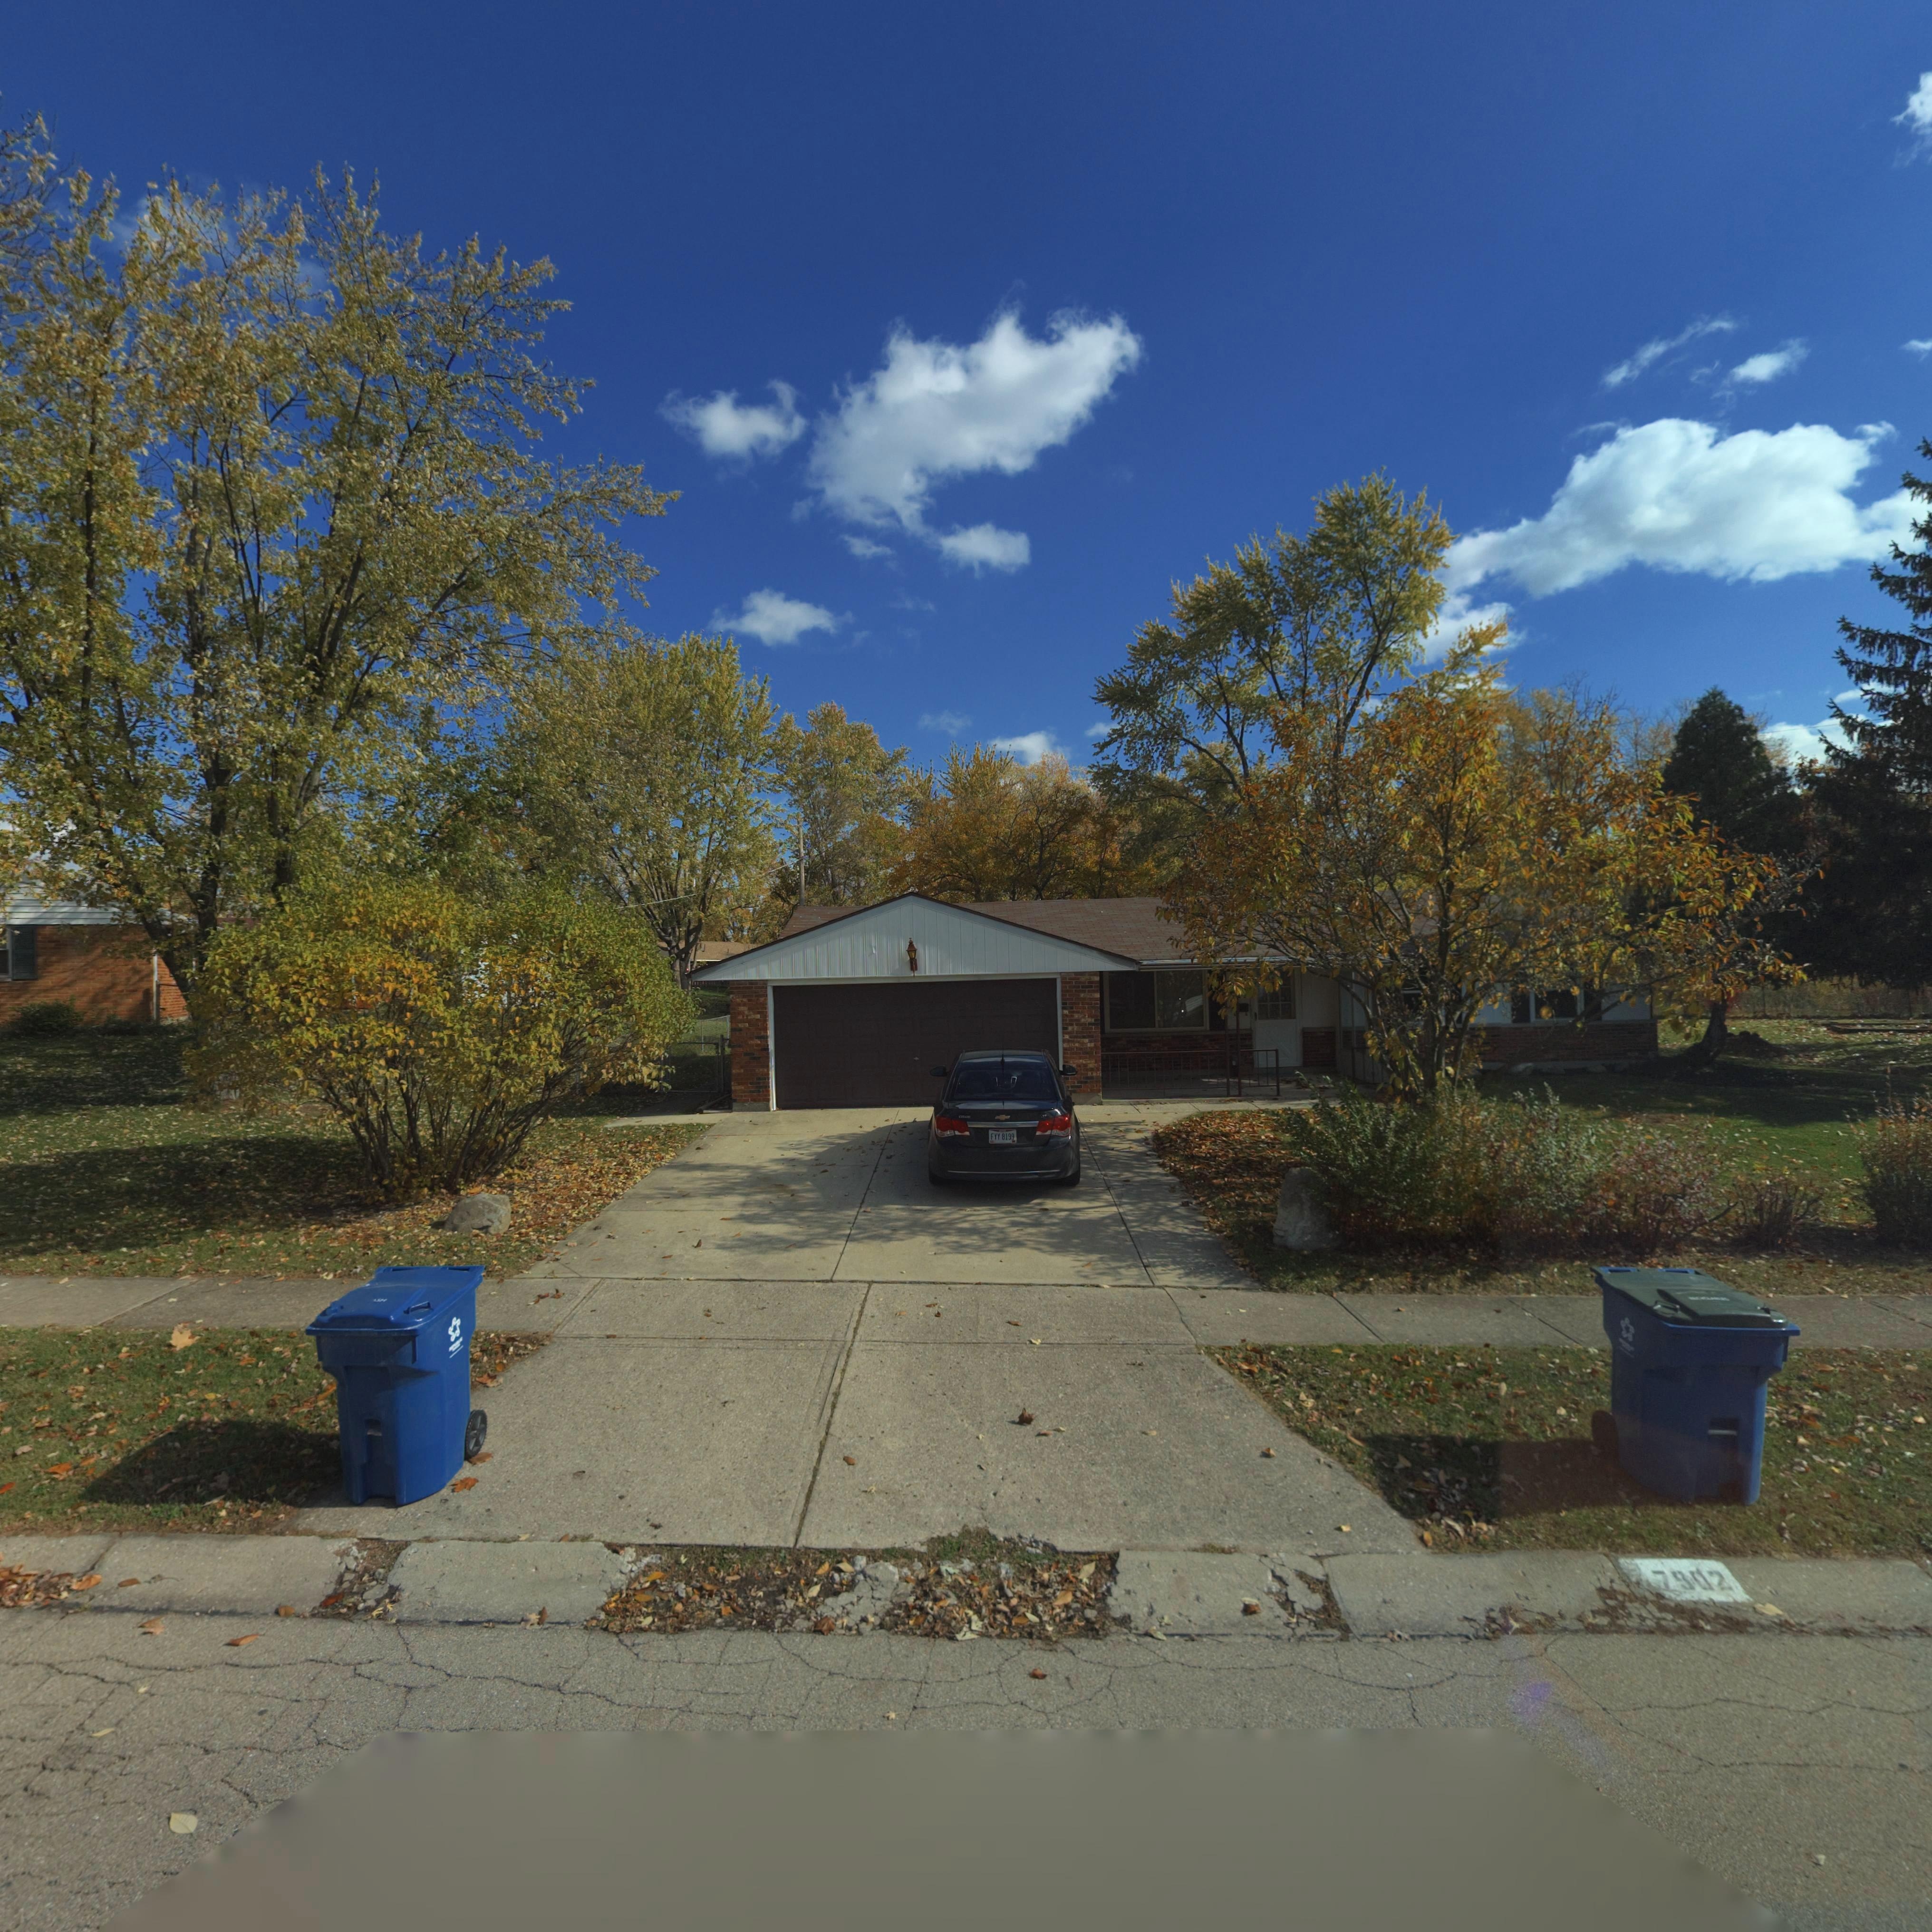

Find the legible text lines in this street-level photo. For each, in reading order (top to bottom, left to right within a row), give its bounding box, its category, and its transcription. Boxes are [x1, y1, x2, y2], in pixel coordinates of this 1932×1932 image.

[1650, 1569, 1736, 1592] StreetNumber: 7902